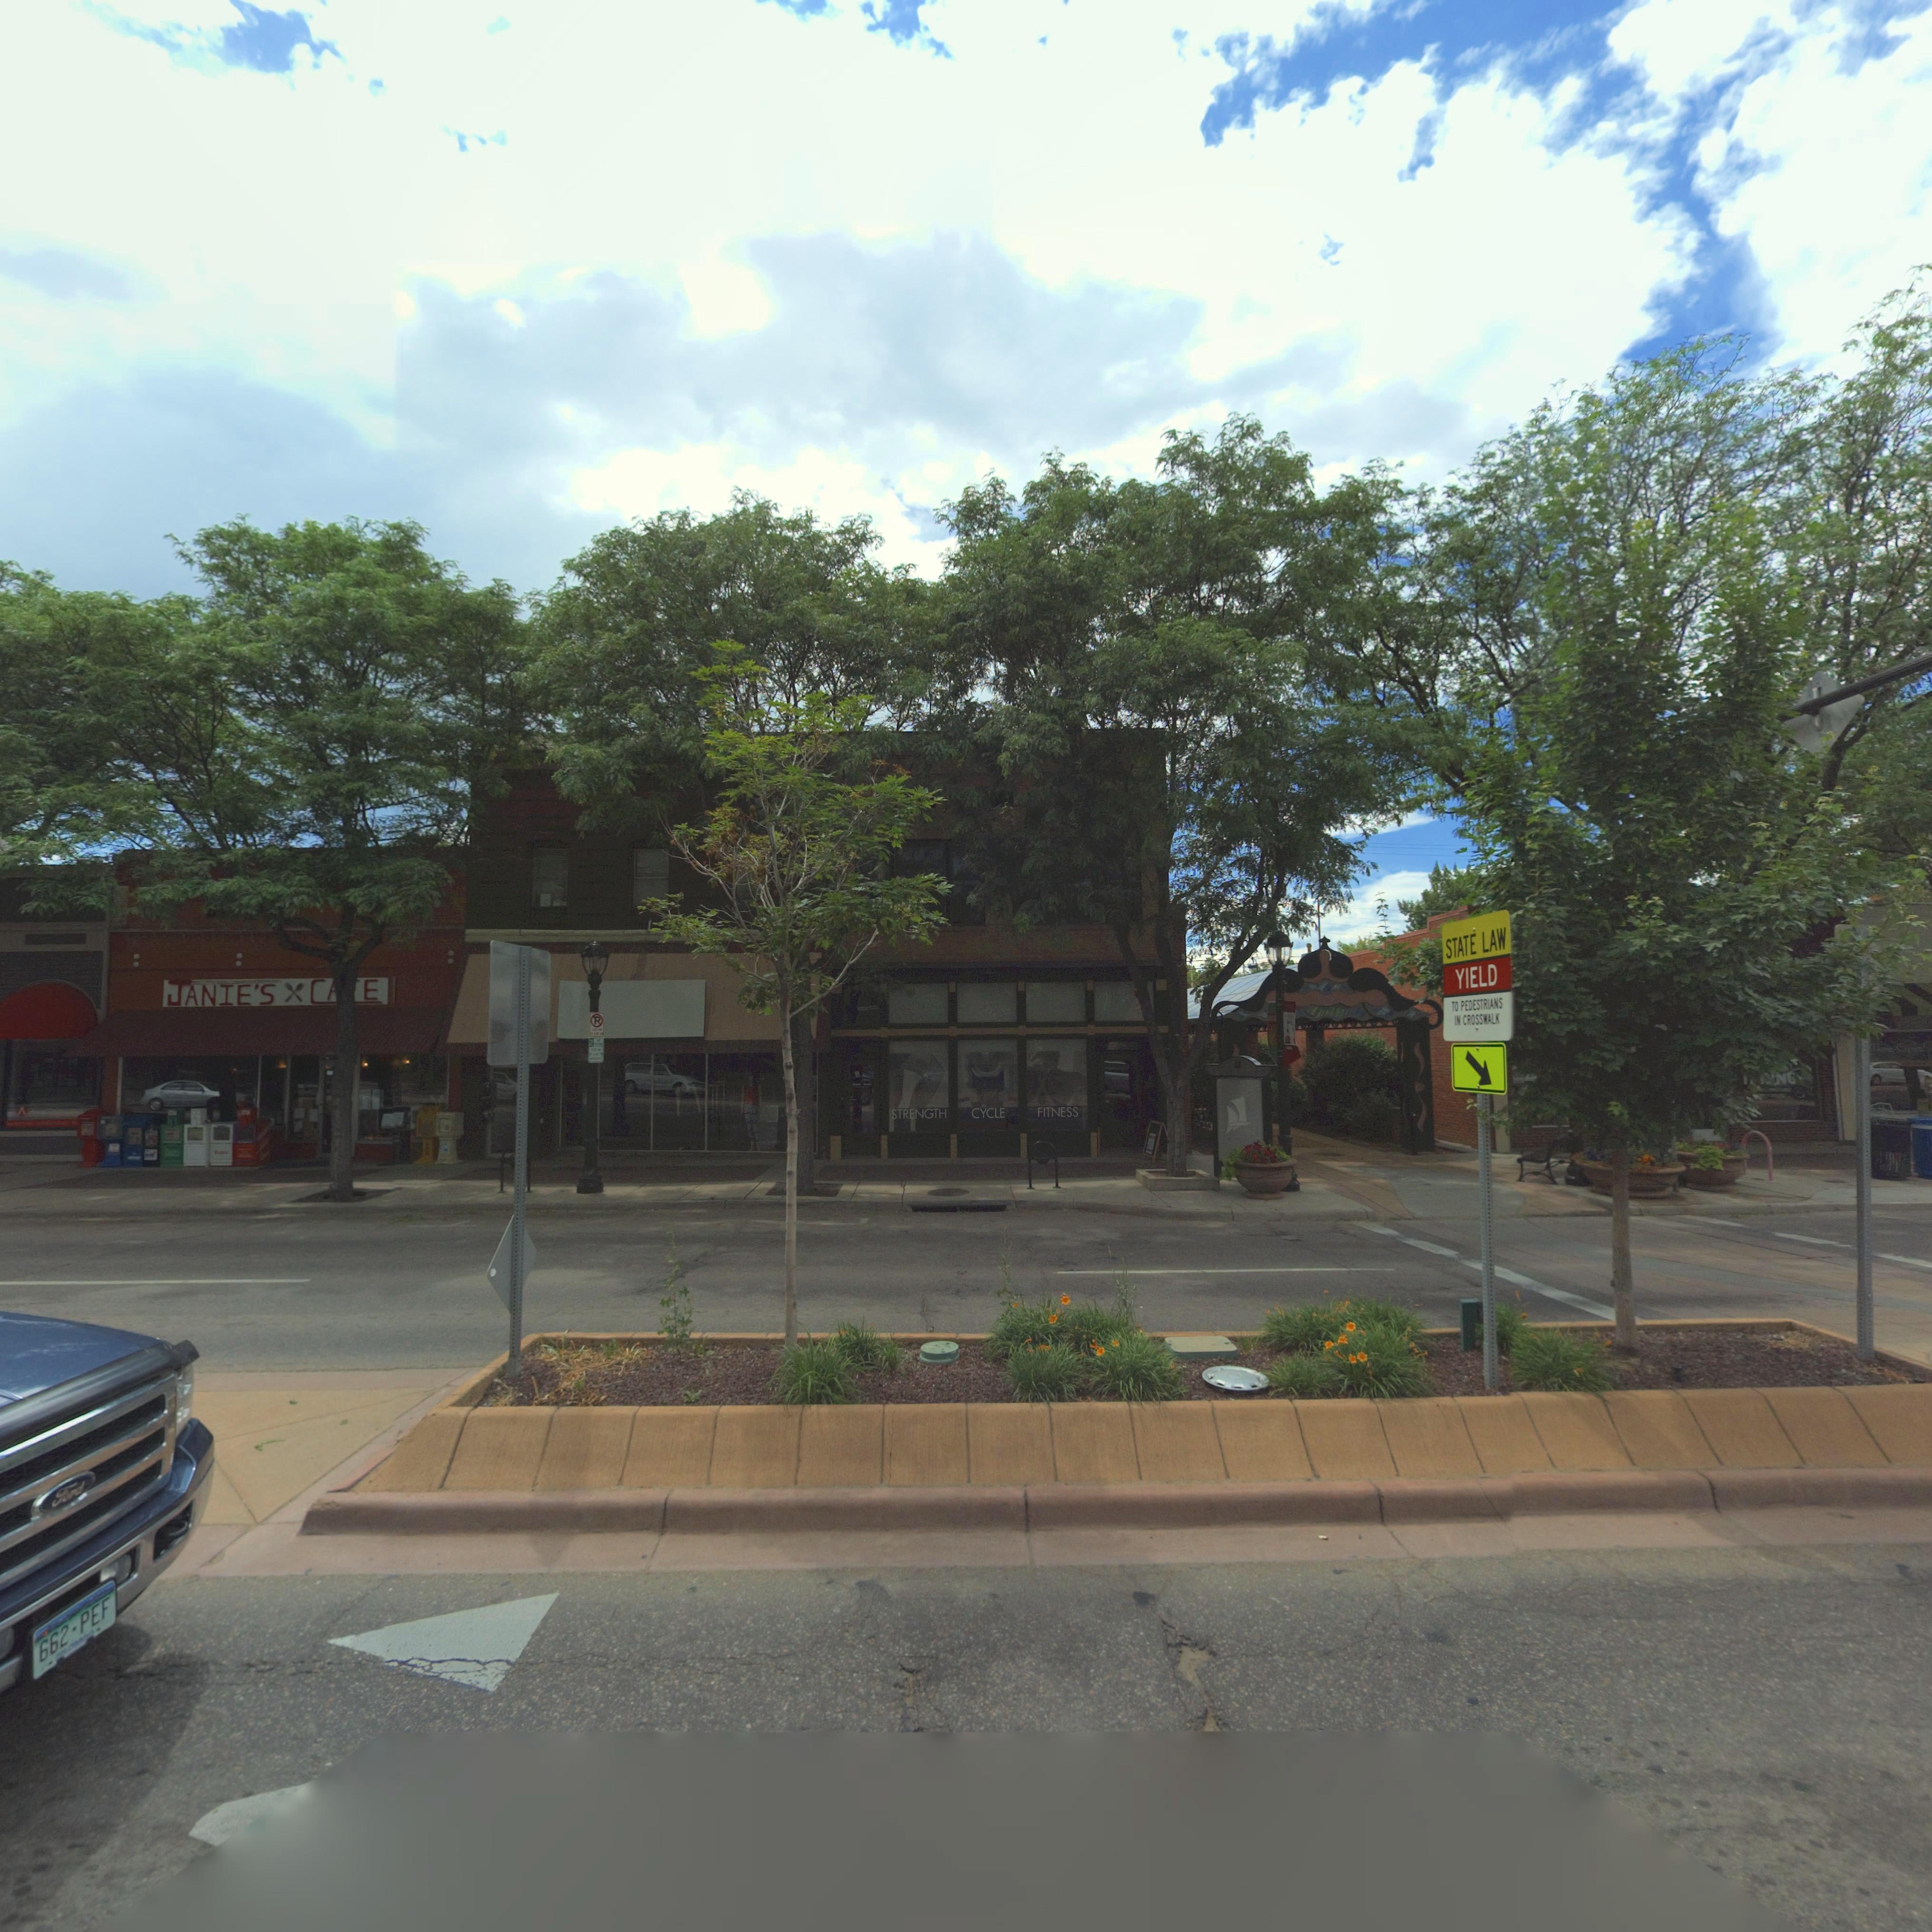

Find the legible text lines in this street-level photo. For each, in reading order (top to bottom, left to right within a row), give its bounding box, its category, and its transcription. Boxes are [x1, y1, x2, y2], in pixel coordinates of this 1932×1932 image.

[166, 977, 383, 1006] BusinessName: JANIE'S C**E